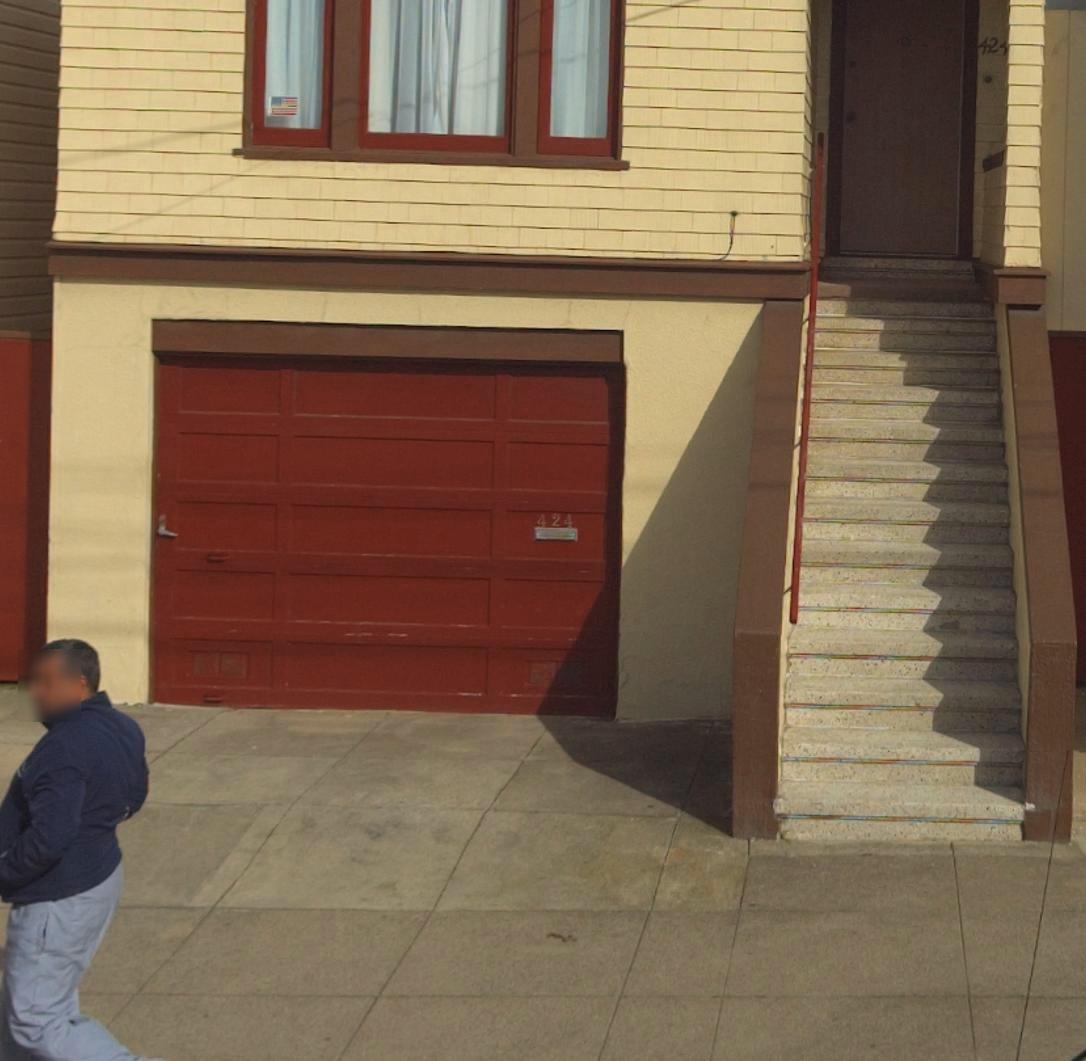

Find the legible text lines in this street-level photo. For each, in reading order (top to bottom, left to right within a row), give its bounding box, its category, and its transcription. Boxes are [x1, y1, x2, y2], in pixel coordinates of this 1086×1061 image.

[535, 512, 575, 528] StreetNumber: 424